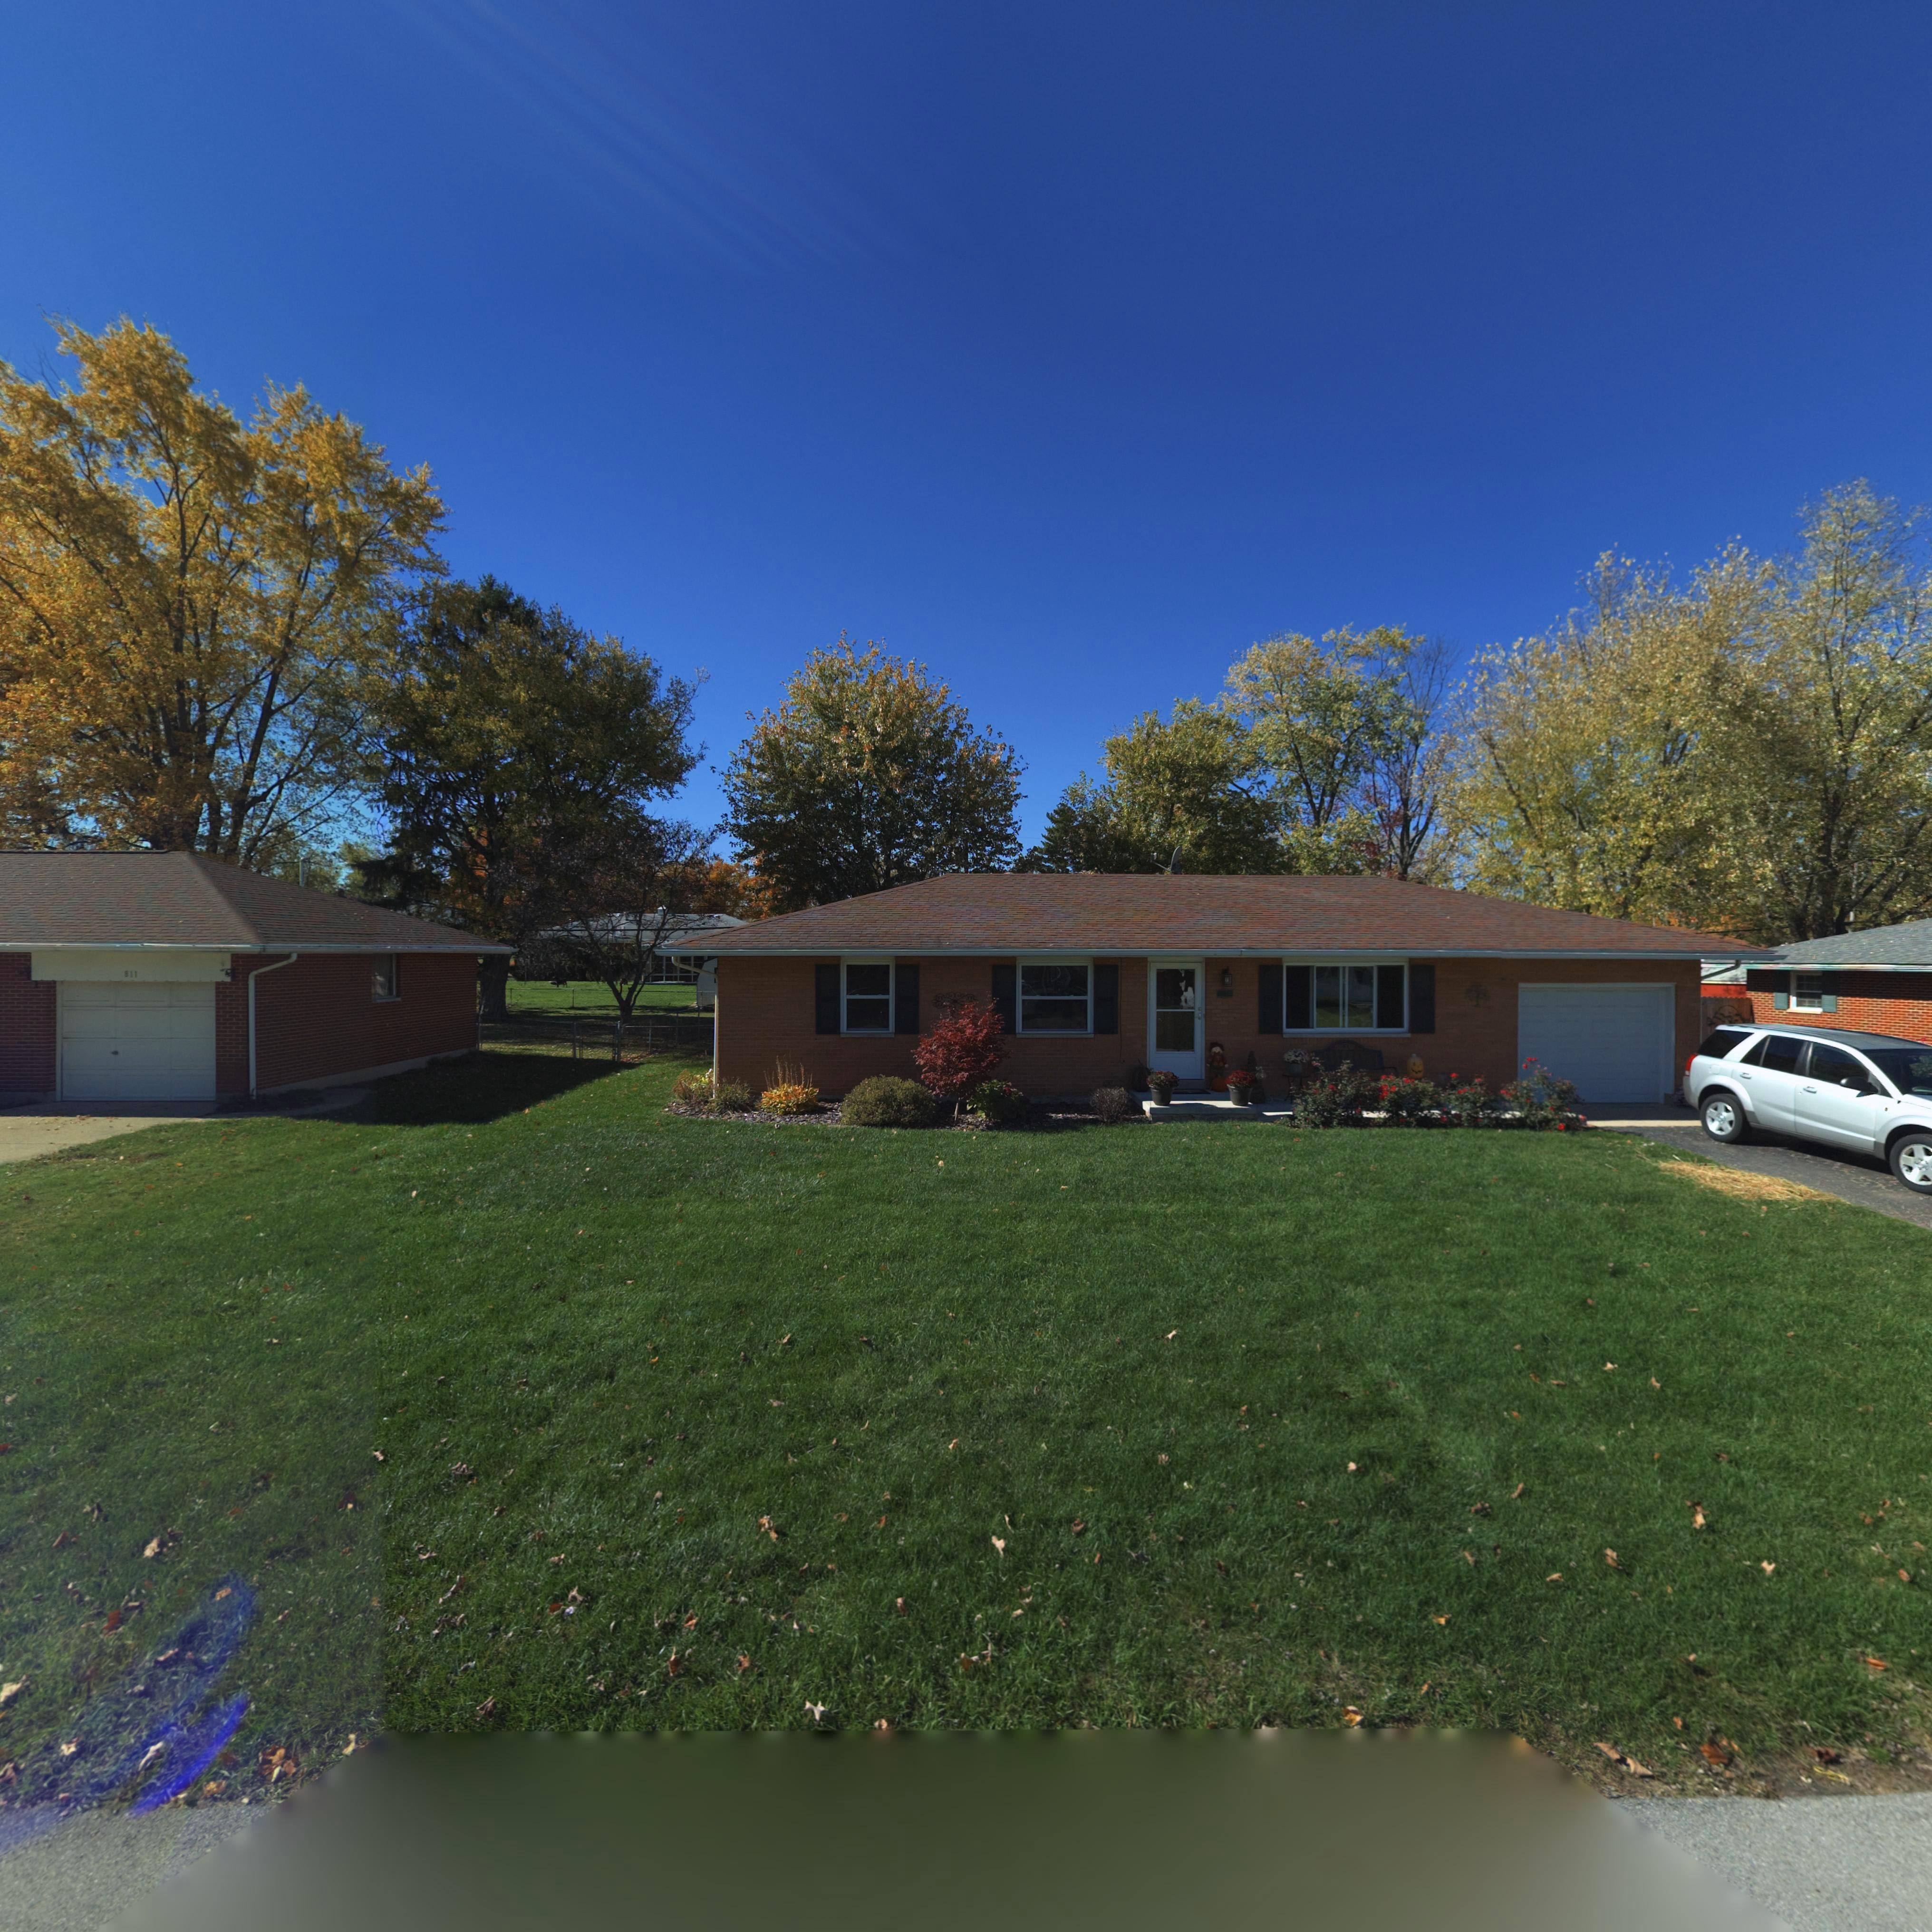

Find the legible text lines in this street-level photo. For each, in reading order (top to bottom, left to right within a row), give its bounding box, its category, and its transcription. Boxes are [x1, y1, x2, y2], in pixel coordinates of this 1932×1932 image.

[124, 970, 138, 978] StreetNumber: 811